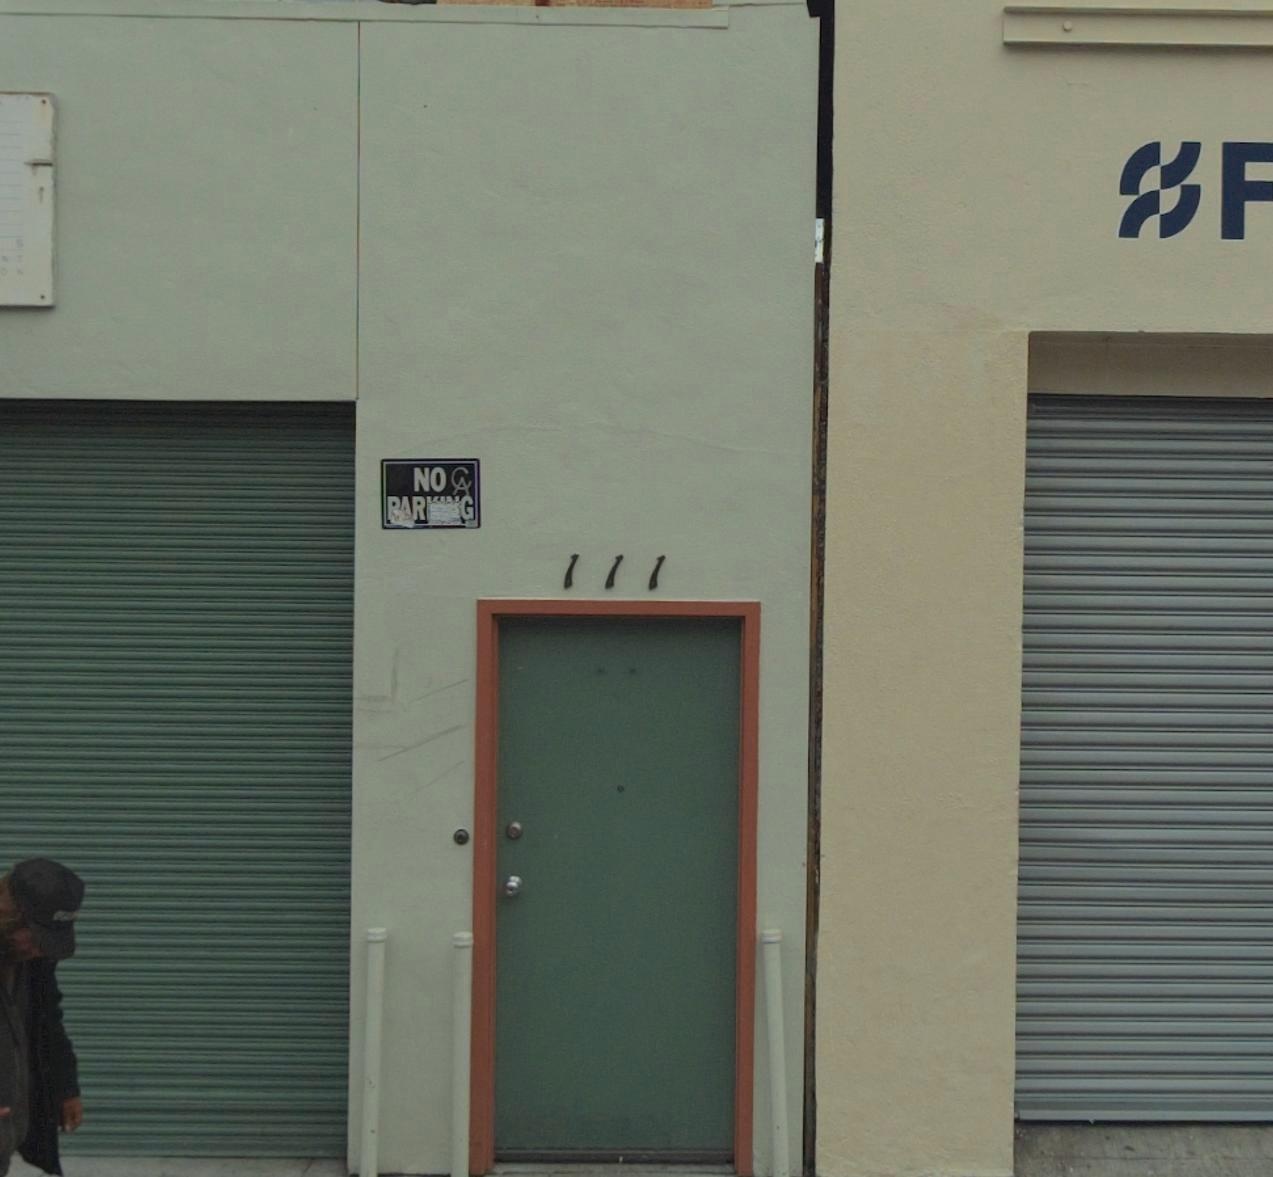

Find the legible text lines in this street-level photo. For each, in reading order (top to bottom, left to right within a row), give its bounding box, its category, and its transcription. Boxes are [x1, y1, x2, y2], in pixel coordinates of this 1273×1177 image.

[412, 466, 447, 493] None: NO
[386, 495, 475, 522] None: **R***G
[562, 552, 668, 592] StreetNumber: 111